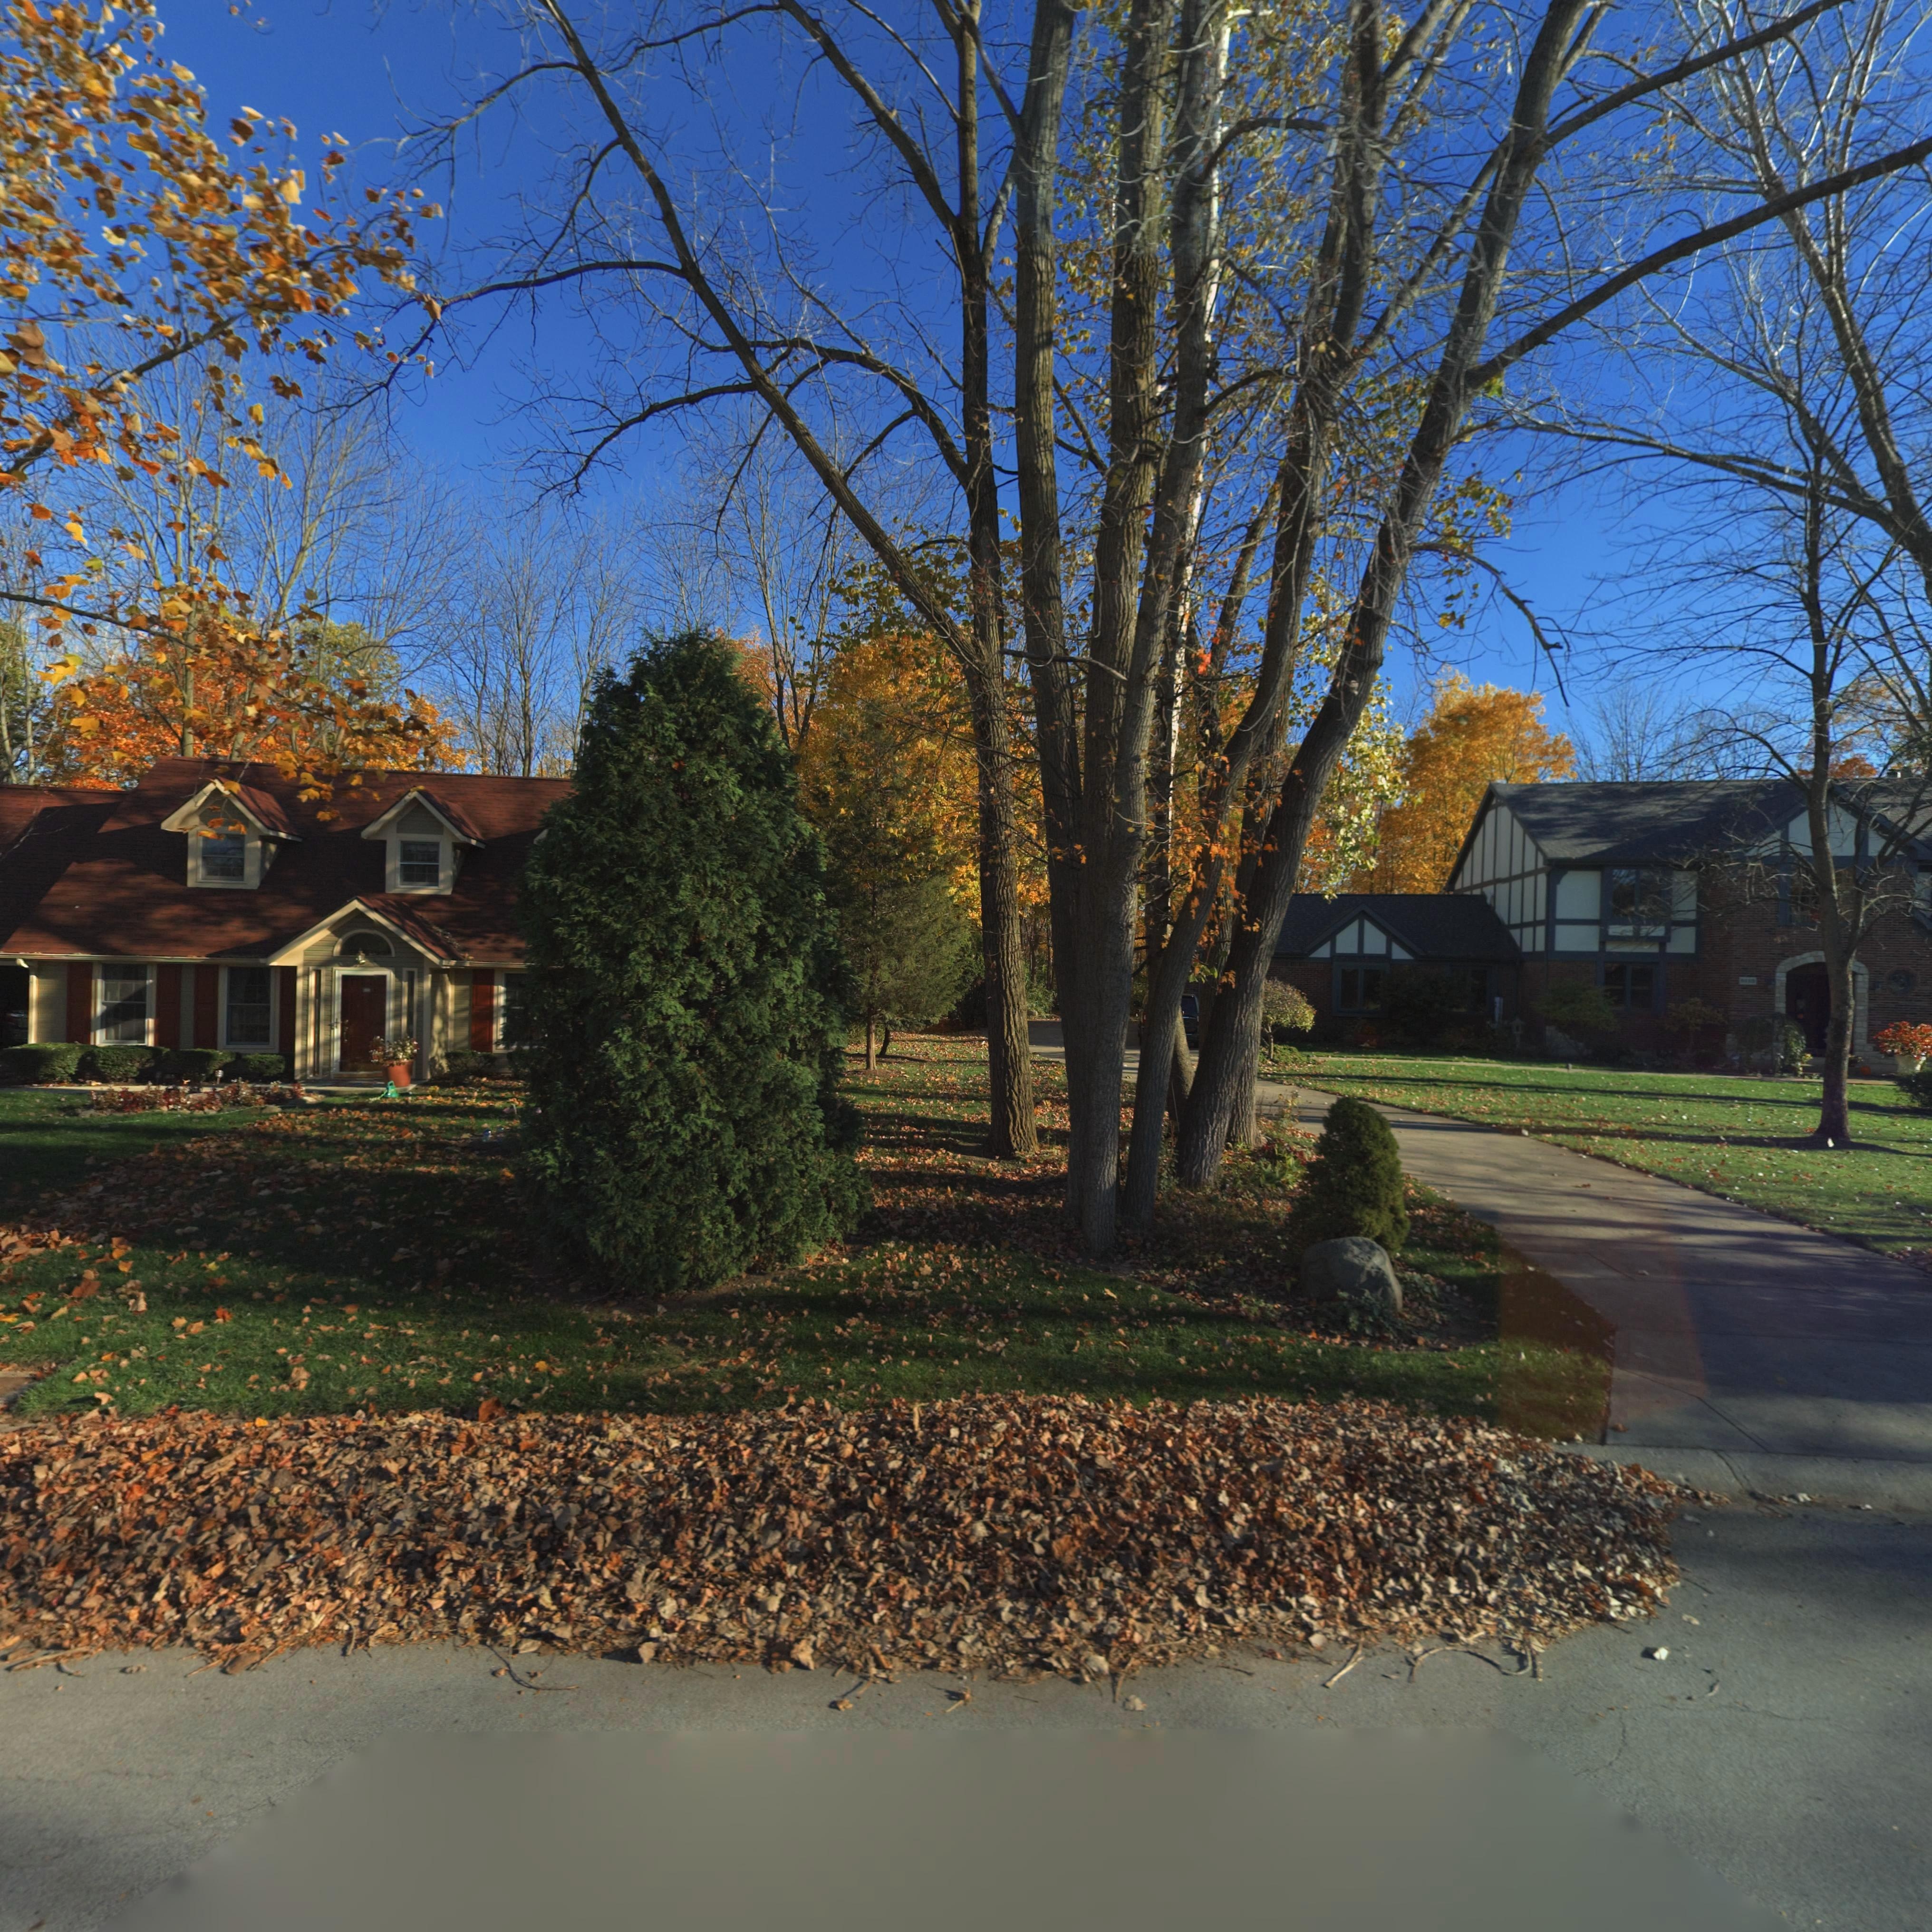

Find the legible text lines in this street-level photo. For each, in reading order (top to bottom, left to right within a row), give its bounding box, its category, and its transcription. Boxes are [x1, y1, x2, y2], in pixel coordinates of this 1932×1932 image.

[1740, 978, 1756, 984] StreetNumber: 511*